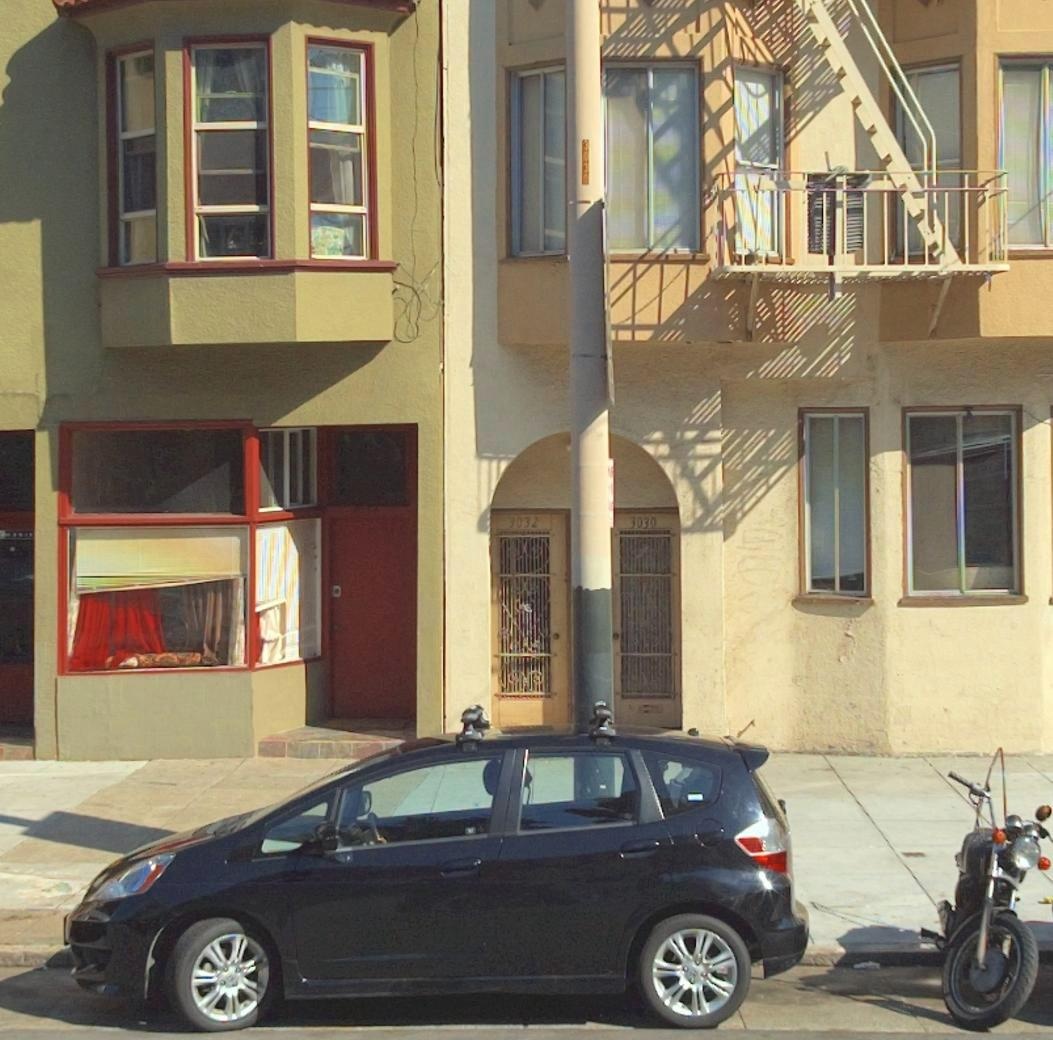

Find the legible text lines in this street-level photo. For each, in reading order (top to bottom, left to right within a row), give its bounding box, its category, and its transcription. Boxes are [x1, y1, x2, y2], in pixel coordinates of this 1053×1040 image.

[507, 512, 541, 531] StreetNumber: 3032
[628, 513, 658, 529] StreetNumber: 3030